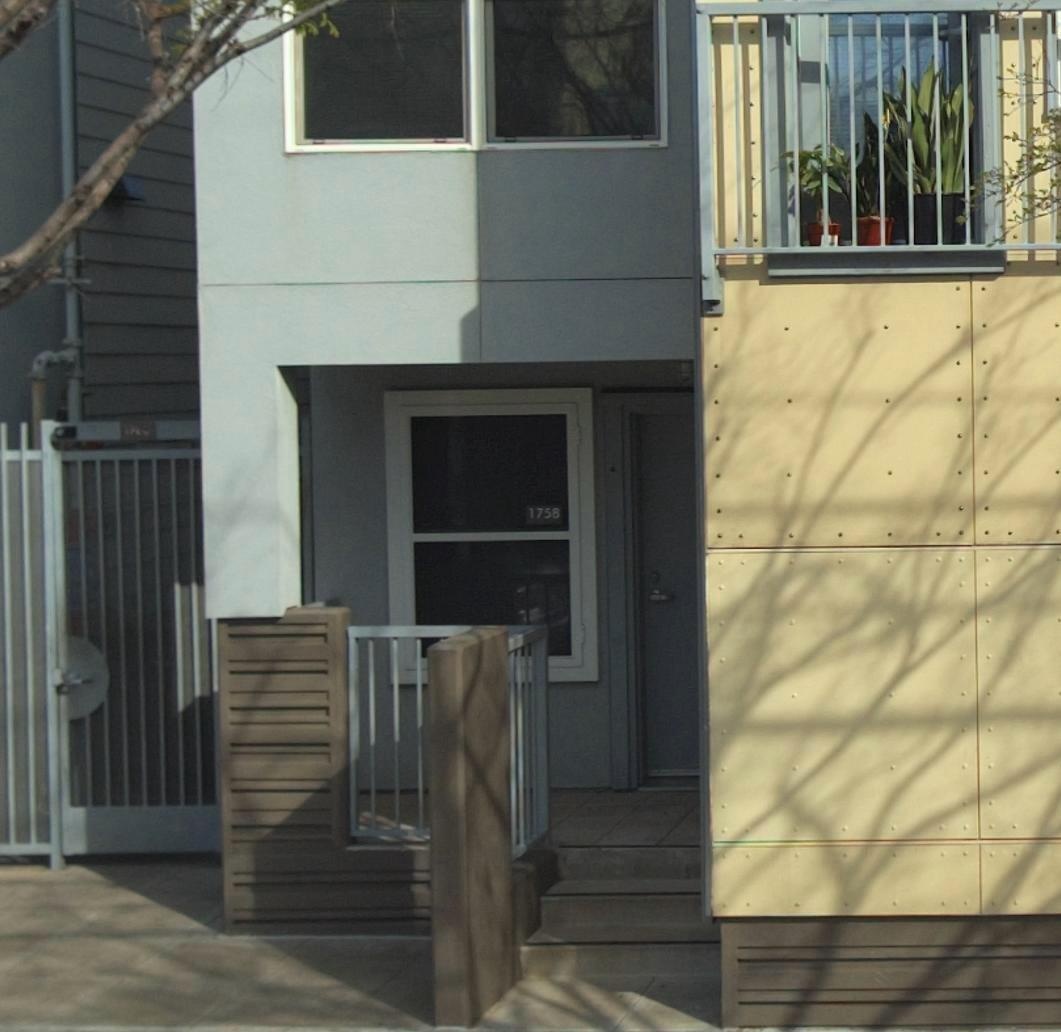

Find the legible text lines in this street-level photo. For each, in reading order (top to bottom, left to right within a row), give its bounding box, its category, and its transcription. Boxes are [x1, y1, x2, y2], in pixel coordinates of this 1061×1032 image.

[526, 506, 562, 521] StreetNumber: 1758